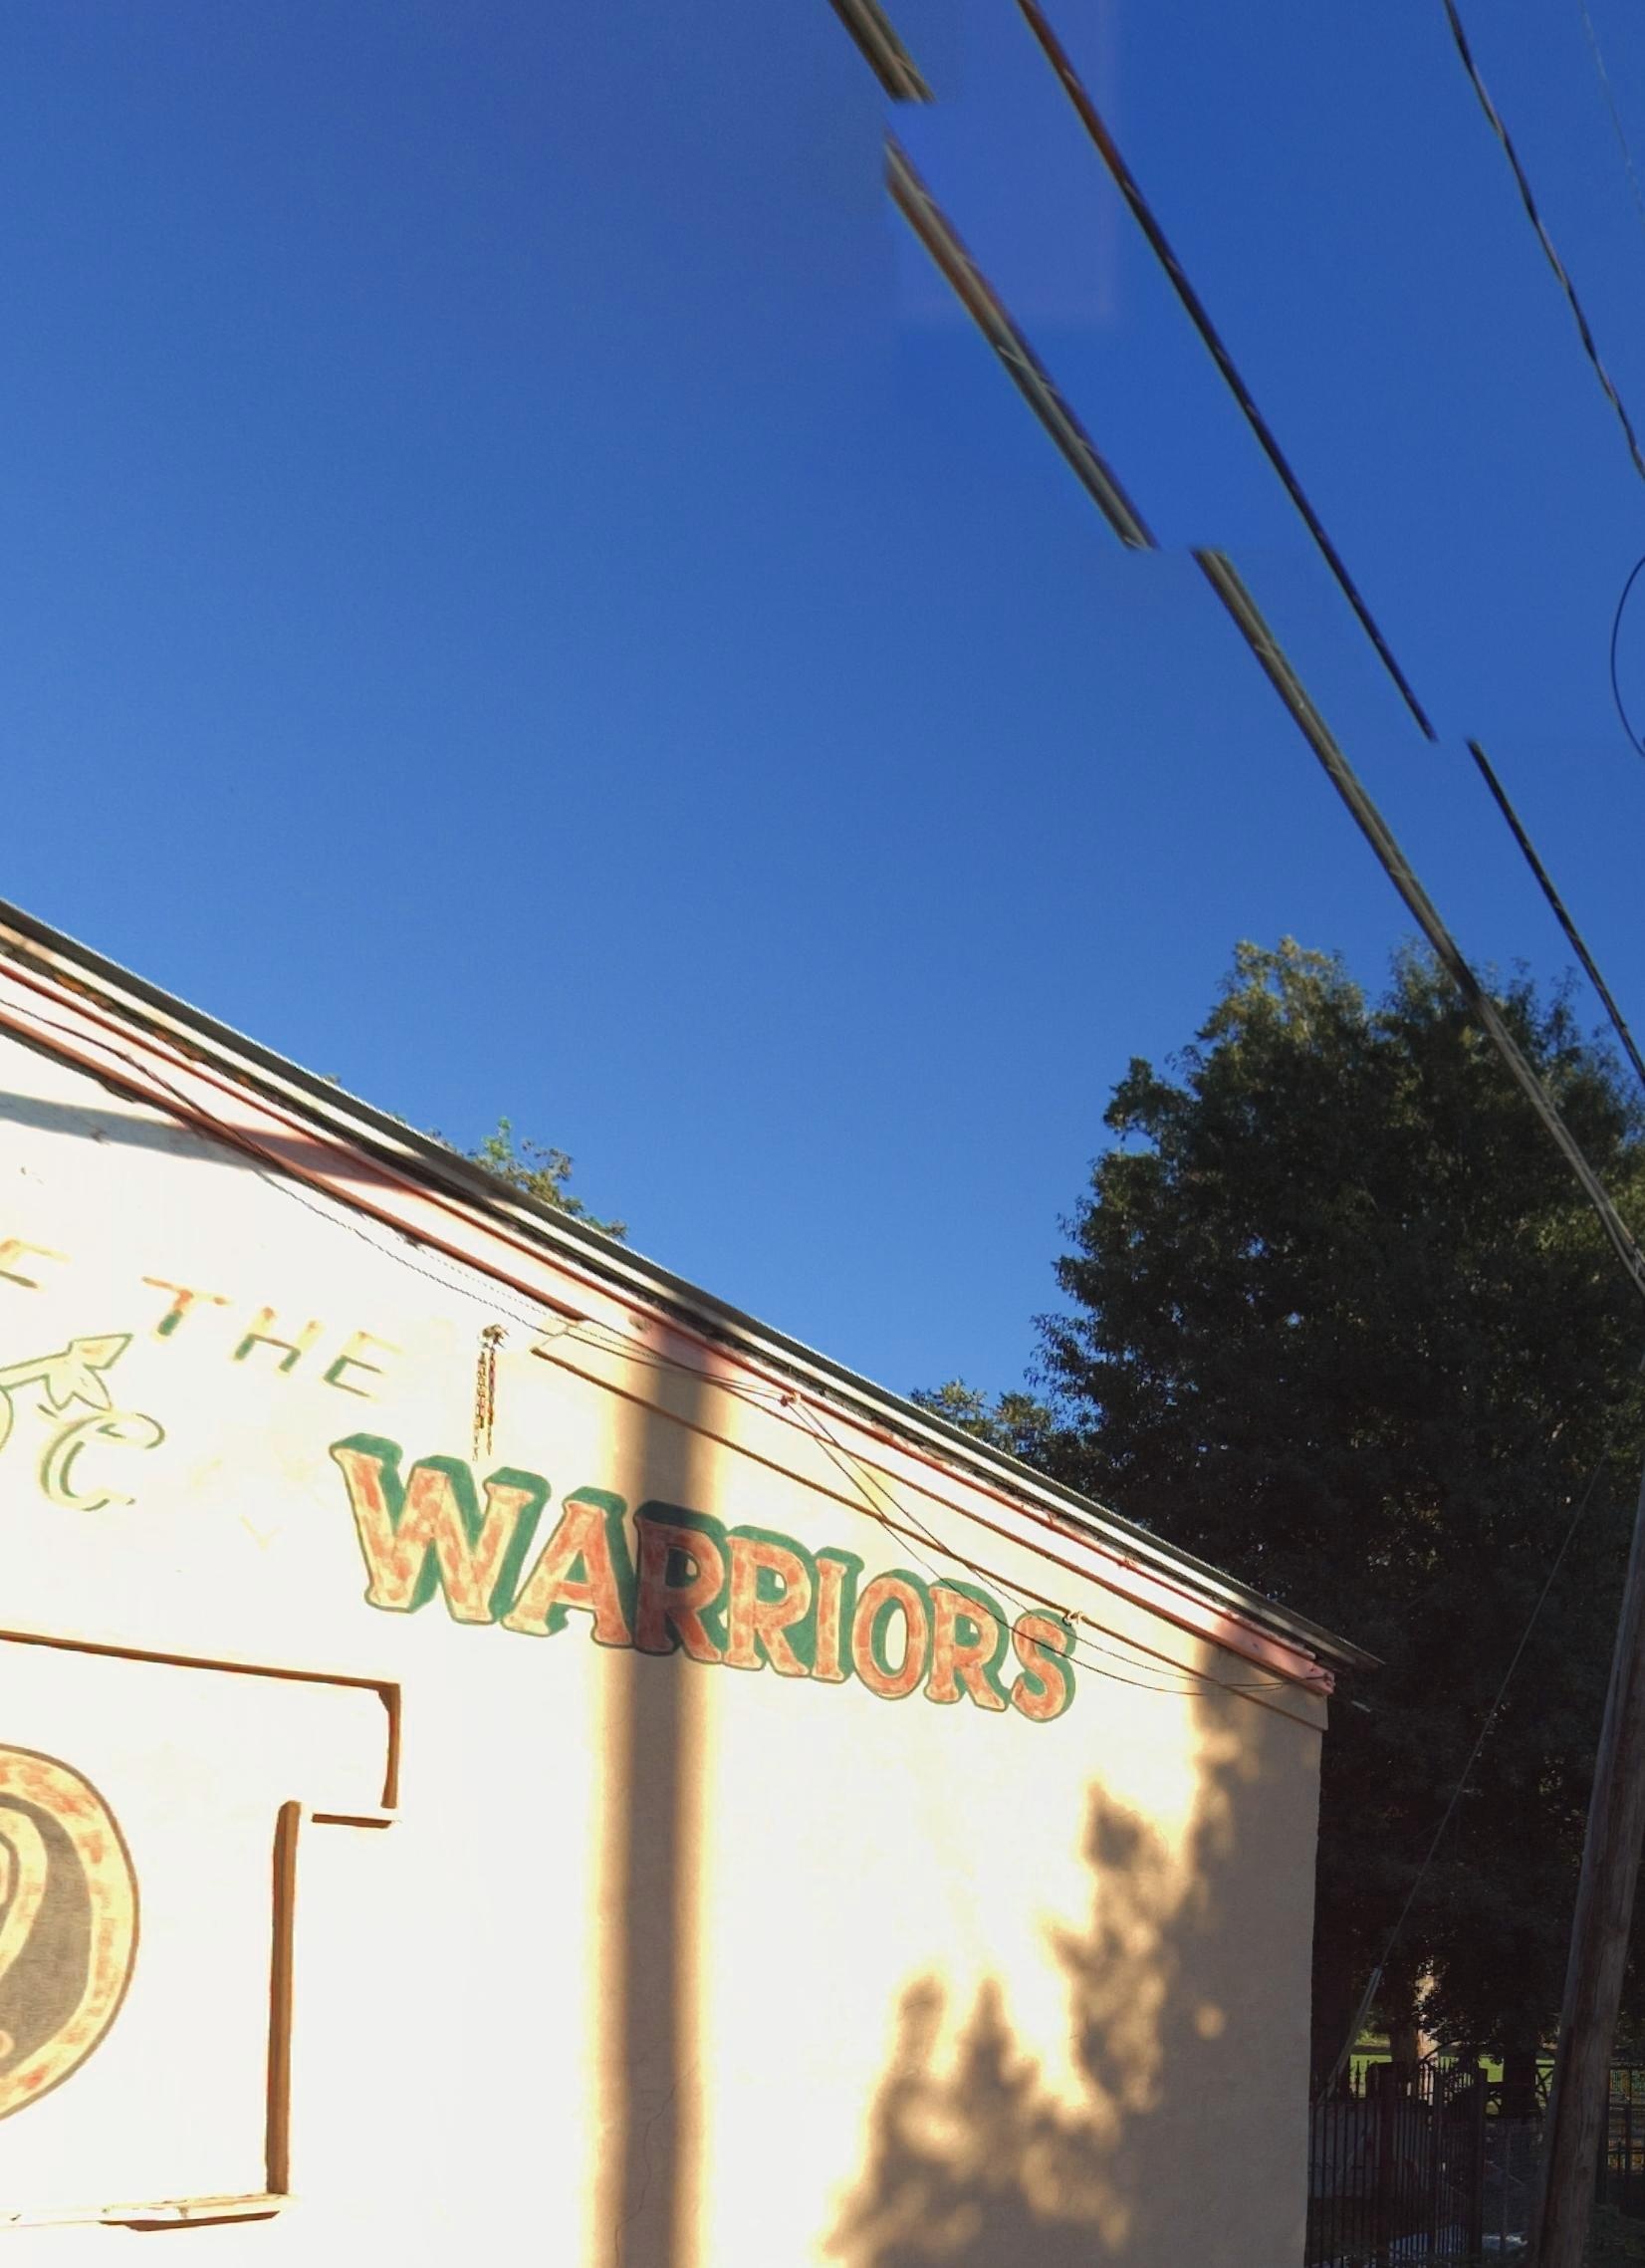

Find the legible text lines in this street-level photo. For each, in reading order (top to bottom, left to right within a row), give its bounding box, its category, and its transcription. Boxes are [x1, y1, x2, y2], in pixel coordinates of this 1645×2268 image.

[136, 1265, 420, 1407] None: THE
[325, 1428, 1078, 1734] None: WARRIORS